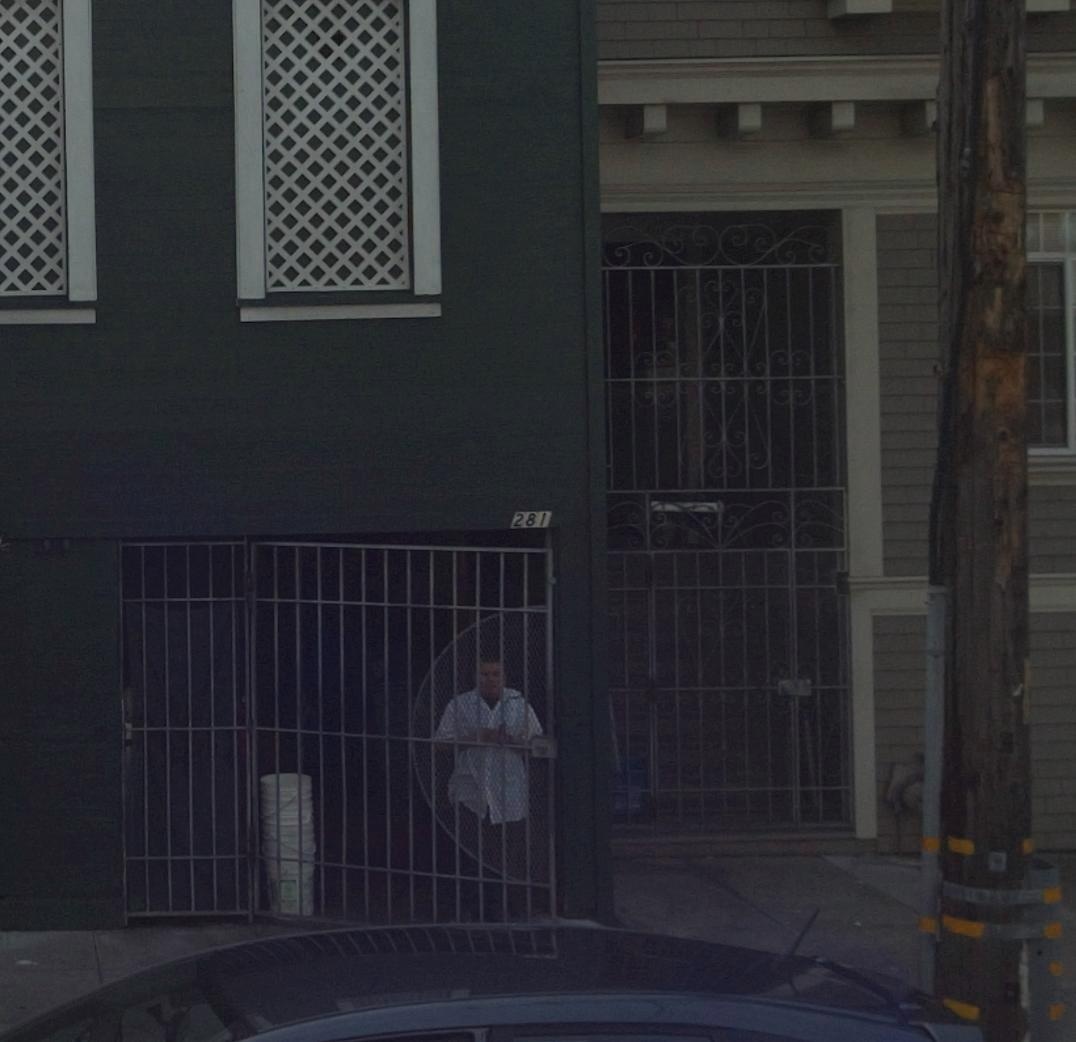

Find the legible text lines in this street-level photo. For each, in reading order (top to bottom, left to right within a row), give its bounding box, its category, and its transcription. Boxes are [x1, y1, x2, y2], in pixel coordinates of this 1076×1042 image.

[510, 511, 549, 528] StreetNumber: 281